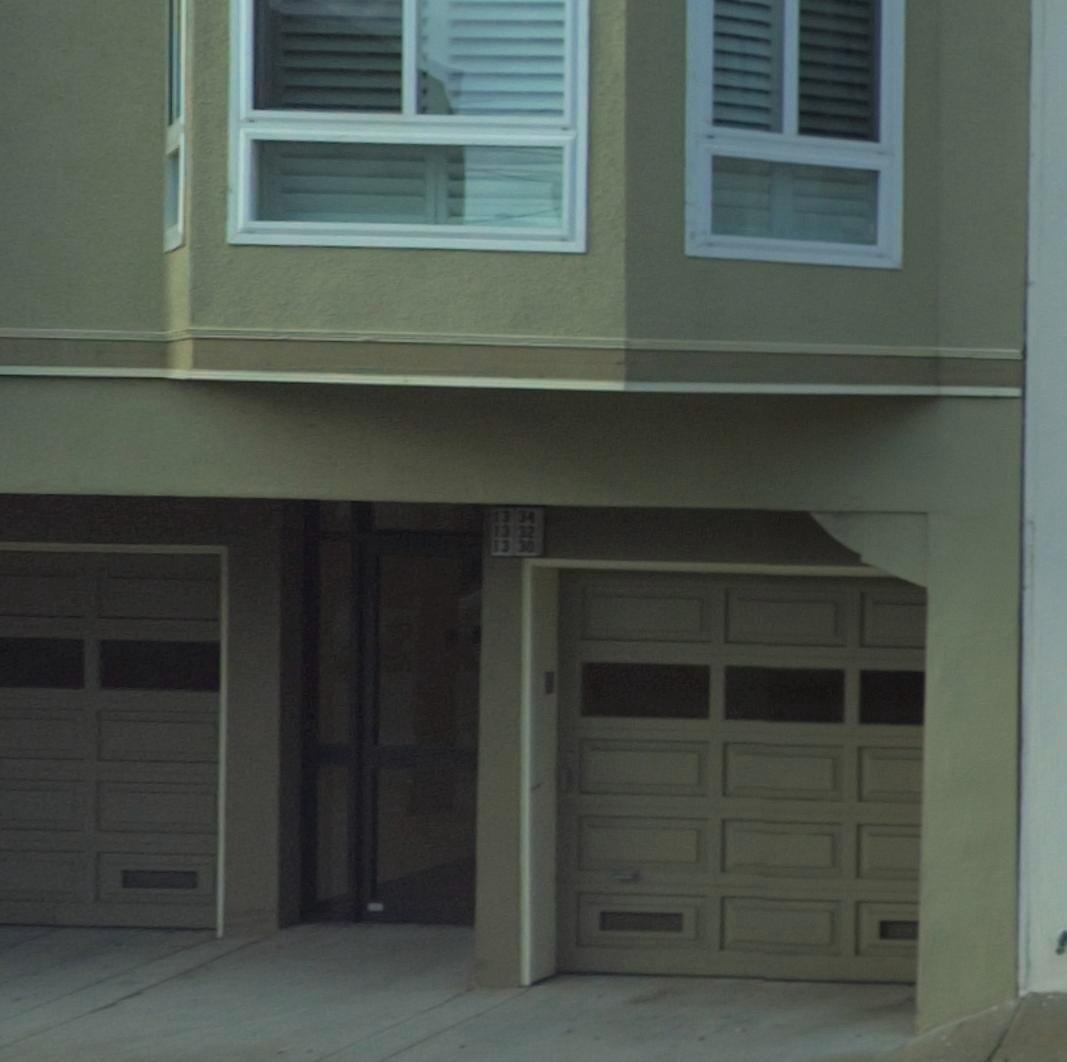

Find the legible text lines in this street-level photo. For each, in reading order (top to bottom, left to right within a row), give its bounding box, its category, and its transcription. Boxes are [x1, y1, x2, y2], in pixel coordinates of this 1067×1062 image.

[492, 508, 539, 527] StreetNumber: 13 34
[492, 523, 537, 540] StreetNumber: 13 32
[491, 536, 537, 555] StreetNumber: 13 30